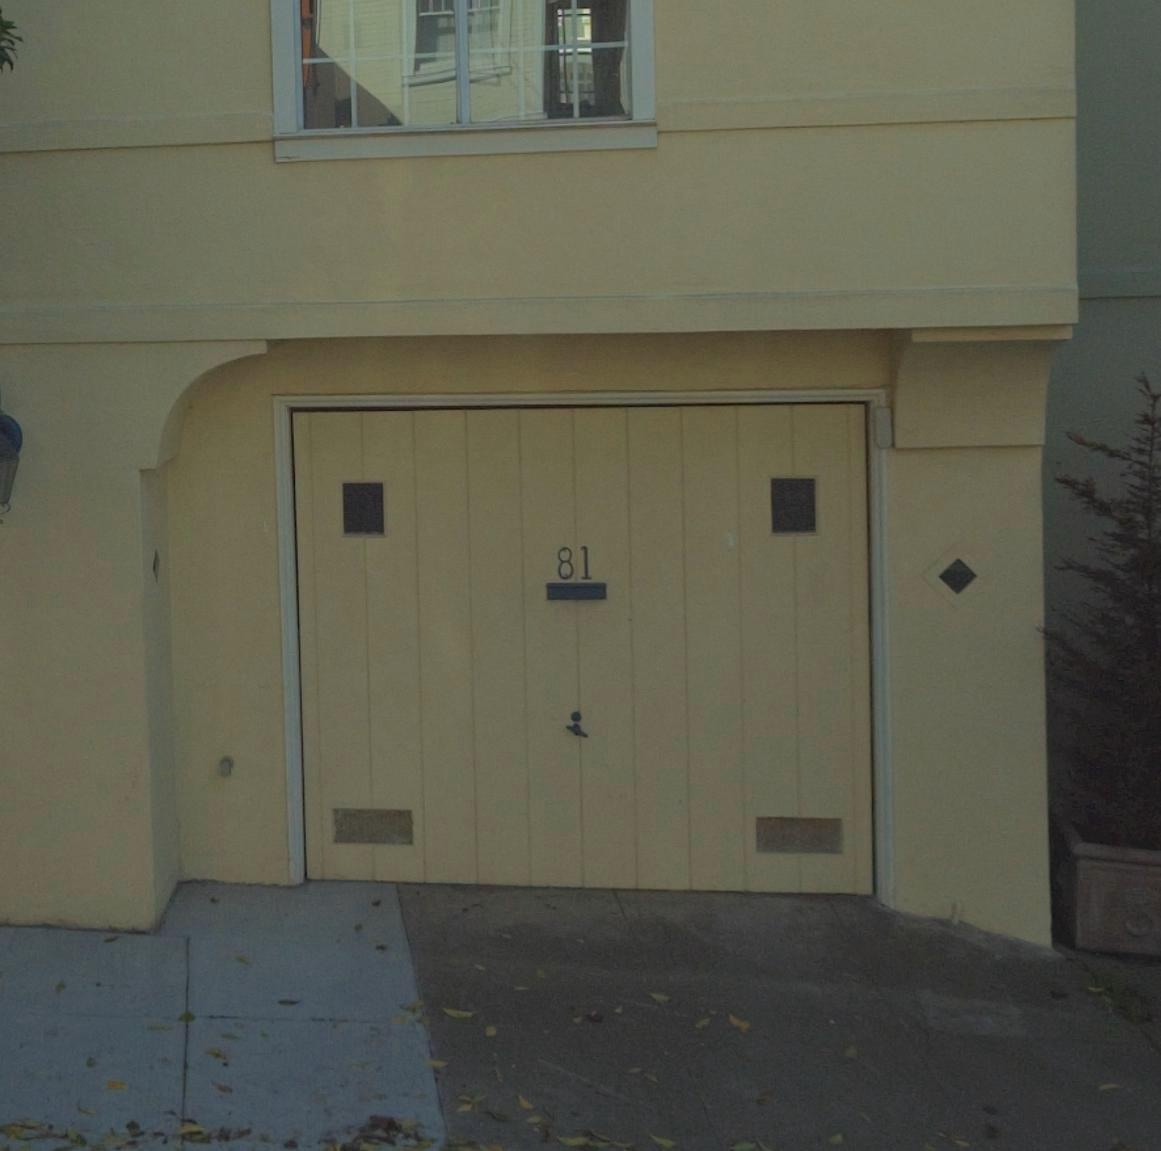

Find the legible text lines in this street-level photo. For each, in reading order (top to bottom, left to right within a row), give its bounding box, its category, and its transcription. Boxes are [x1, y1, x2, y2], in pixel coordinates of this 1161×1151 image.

[553, 544, 594, 581] StreetNumber: 81